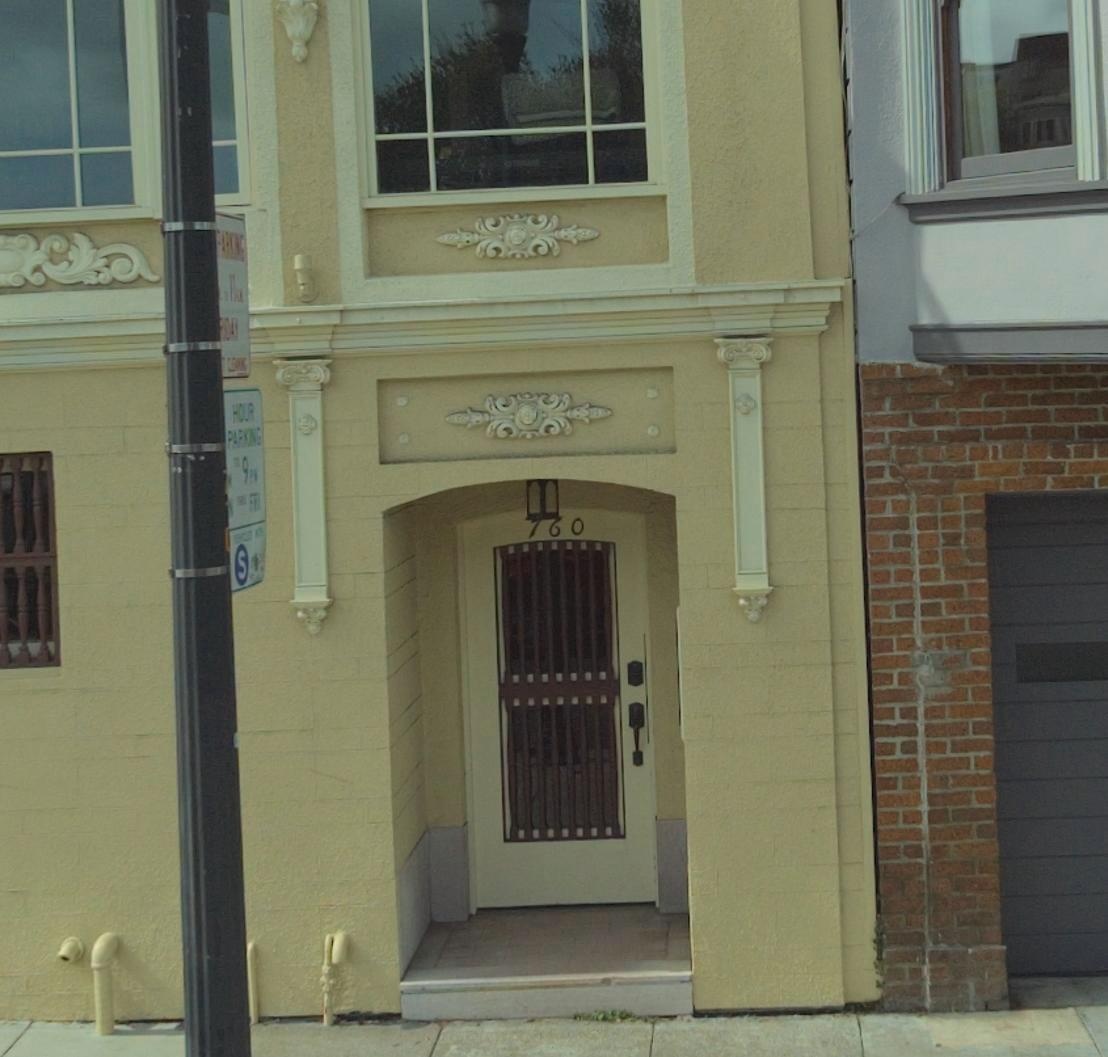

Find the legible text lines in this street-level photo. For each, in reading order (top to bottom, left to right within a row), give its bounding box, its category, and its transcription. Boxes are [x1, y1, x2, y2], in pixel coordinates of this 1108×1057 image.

[216, 226, 247, 267] None: PARKING
[227, 273, 238, 306] None: 11
[214, 314, 242, 342] None: *RIDAY
[225, 355, 250, 373] None: CLEANING
[230, 401, 257, 425] None: HOUR
[226, 425, 264, 452] None: PARKING
[231, 455, 241, 470] None: TO
[240, 454, 250, 487] None: 9
[234, 494, 248, 510] None: THRU
[246, 489, 262, 513] None: FRI
[527, 515, 586, 539] StreetNumber: 760
[235, 549, 248, 583] None: S